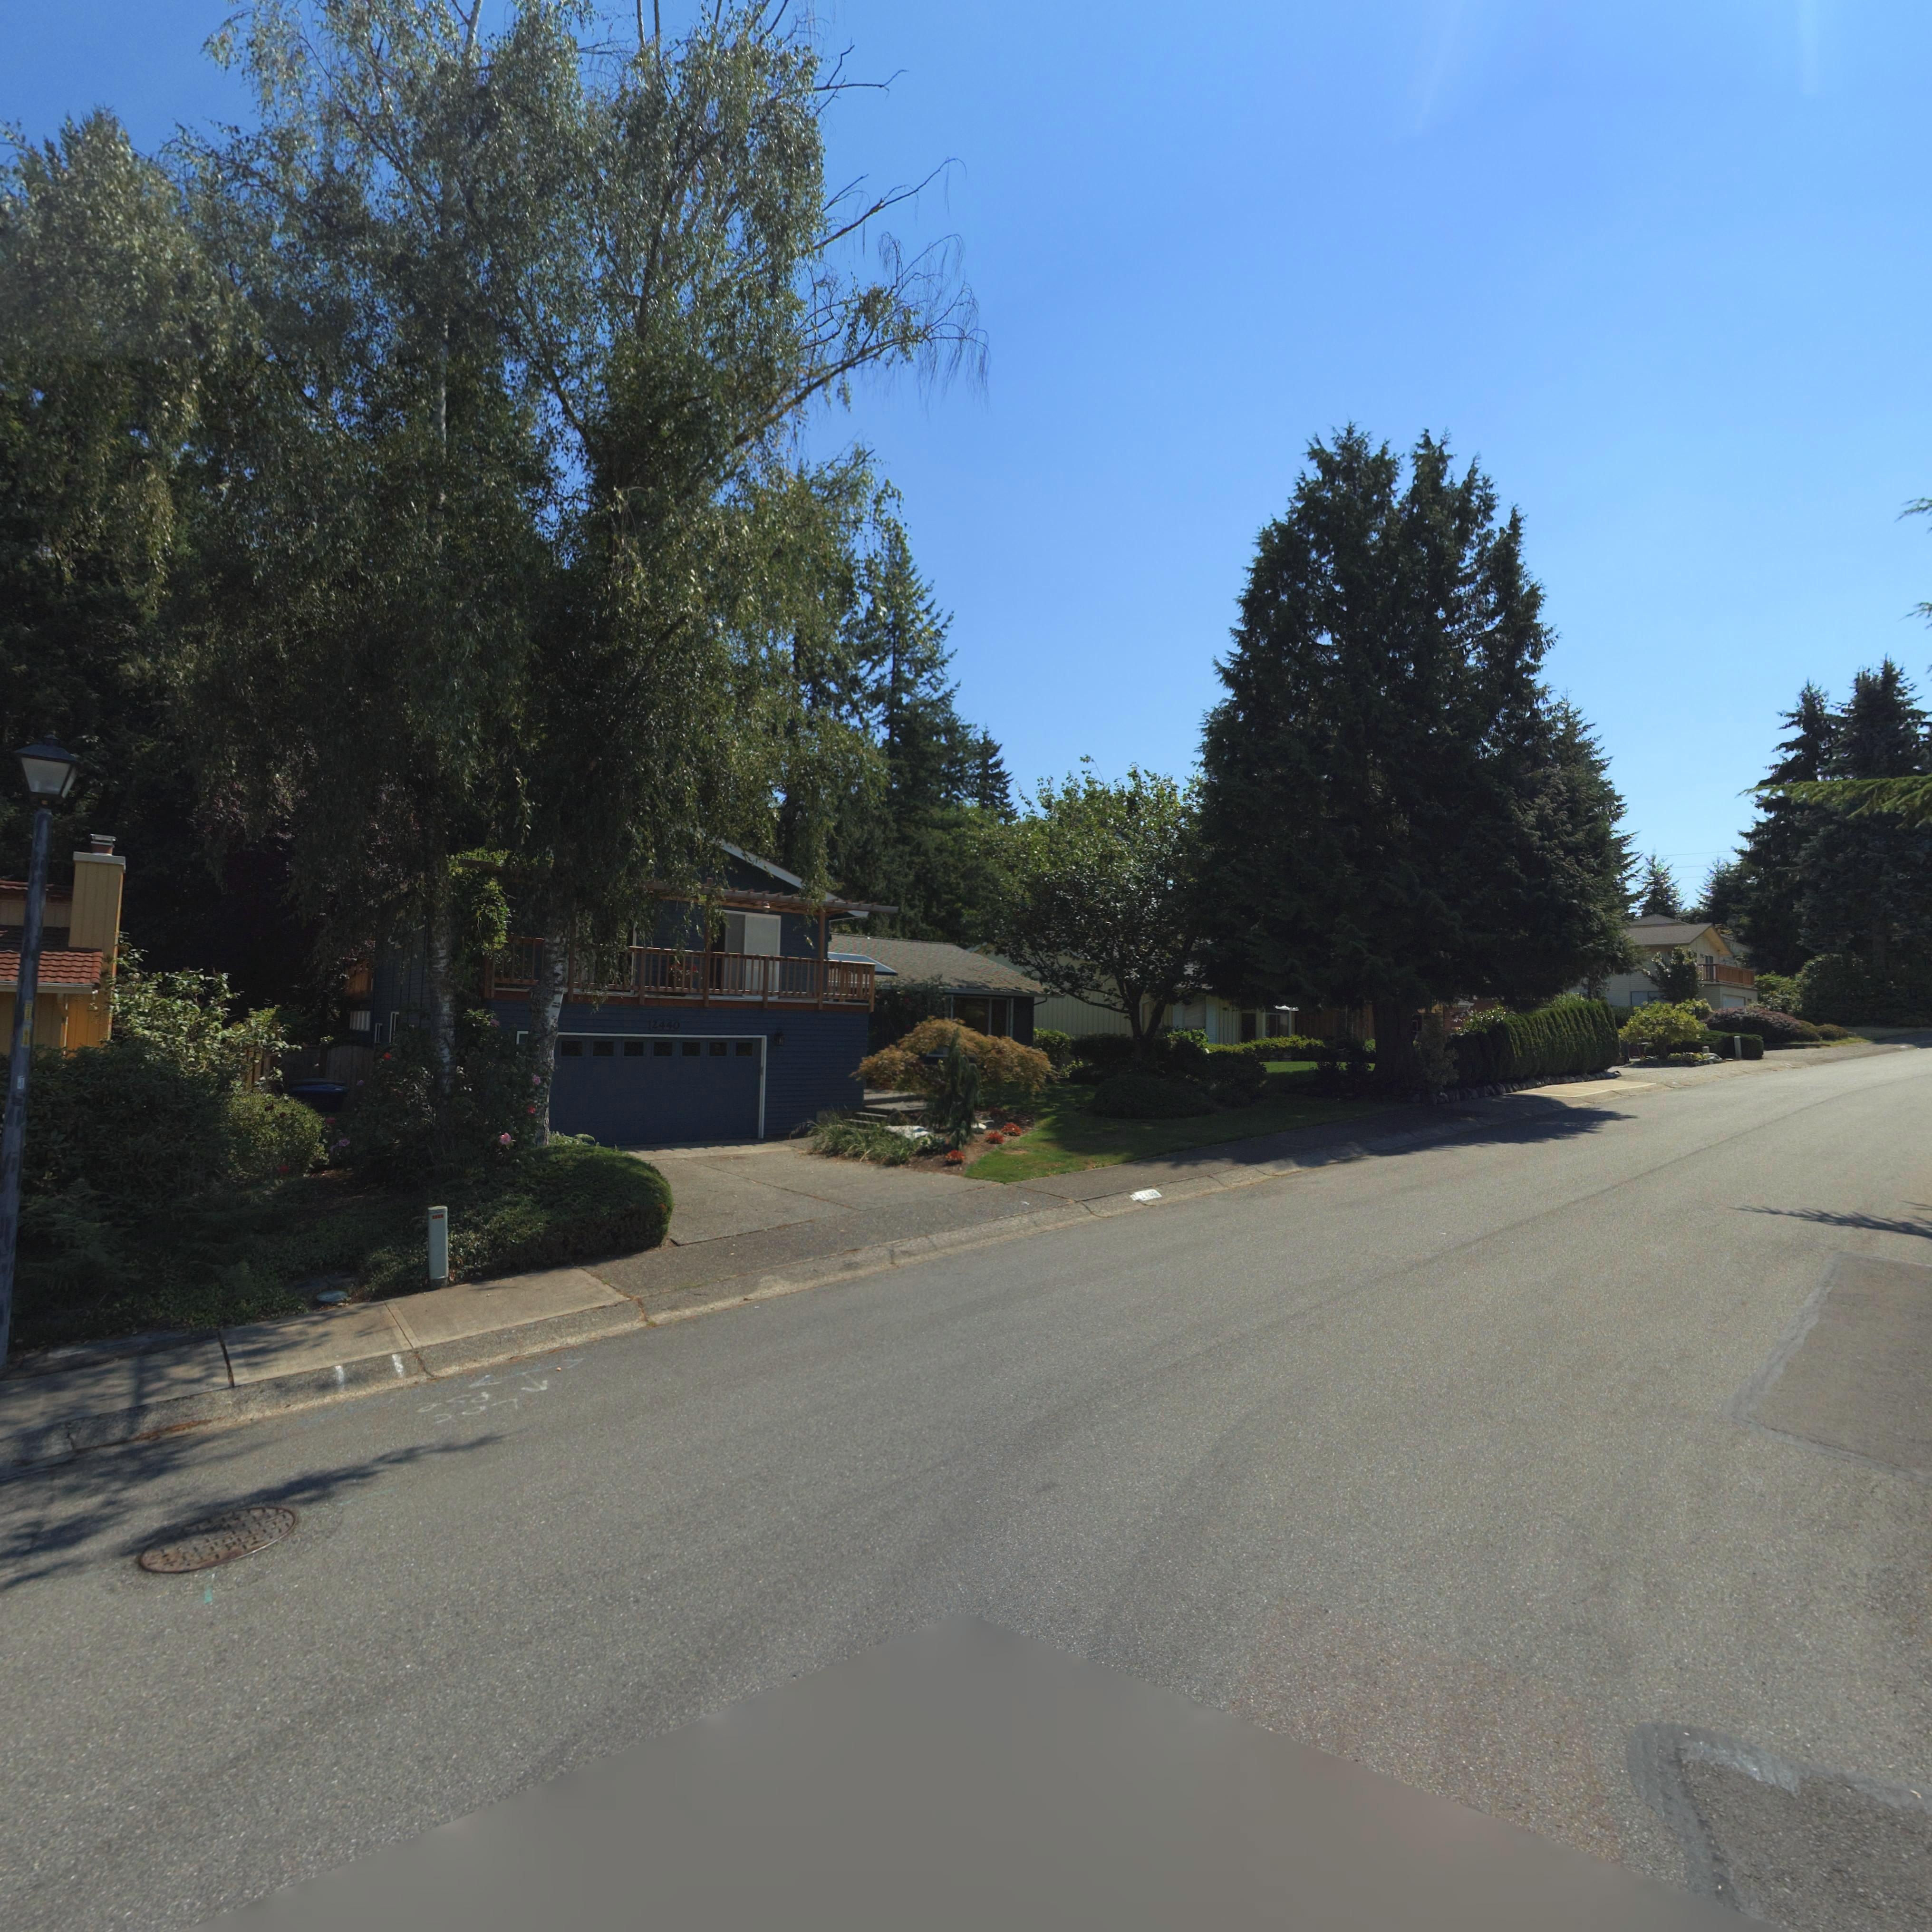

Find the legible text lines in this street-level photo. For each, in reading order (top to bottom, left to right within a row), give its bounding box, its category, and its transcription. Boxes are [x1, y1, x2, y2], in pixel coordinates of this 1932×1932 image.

[652, 1020, 680, 1029] StreetNumber: 2440